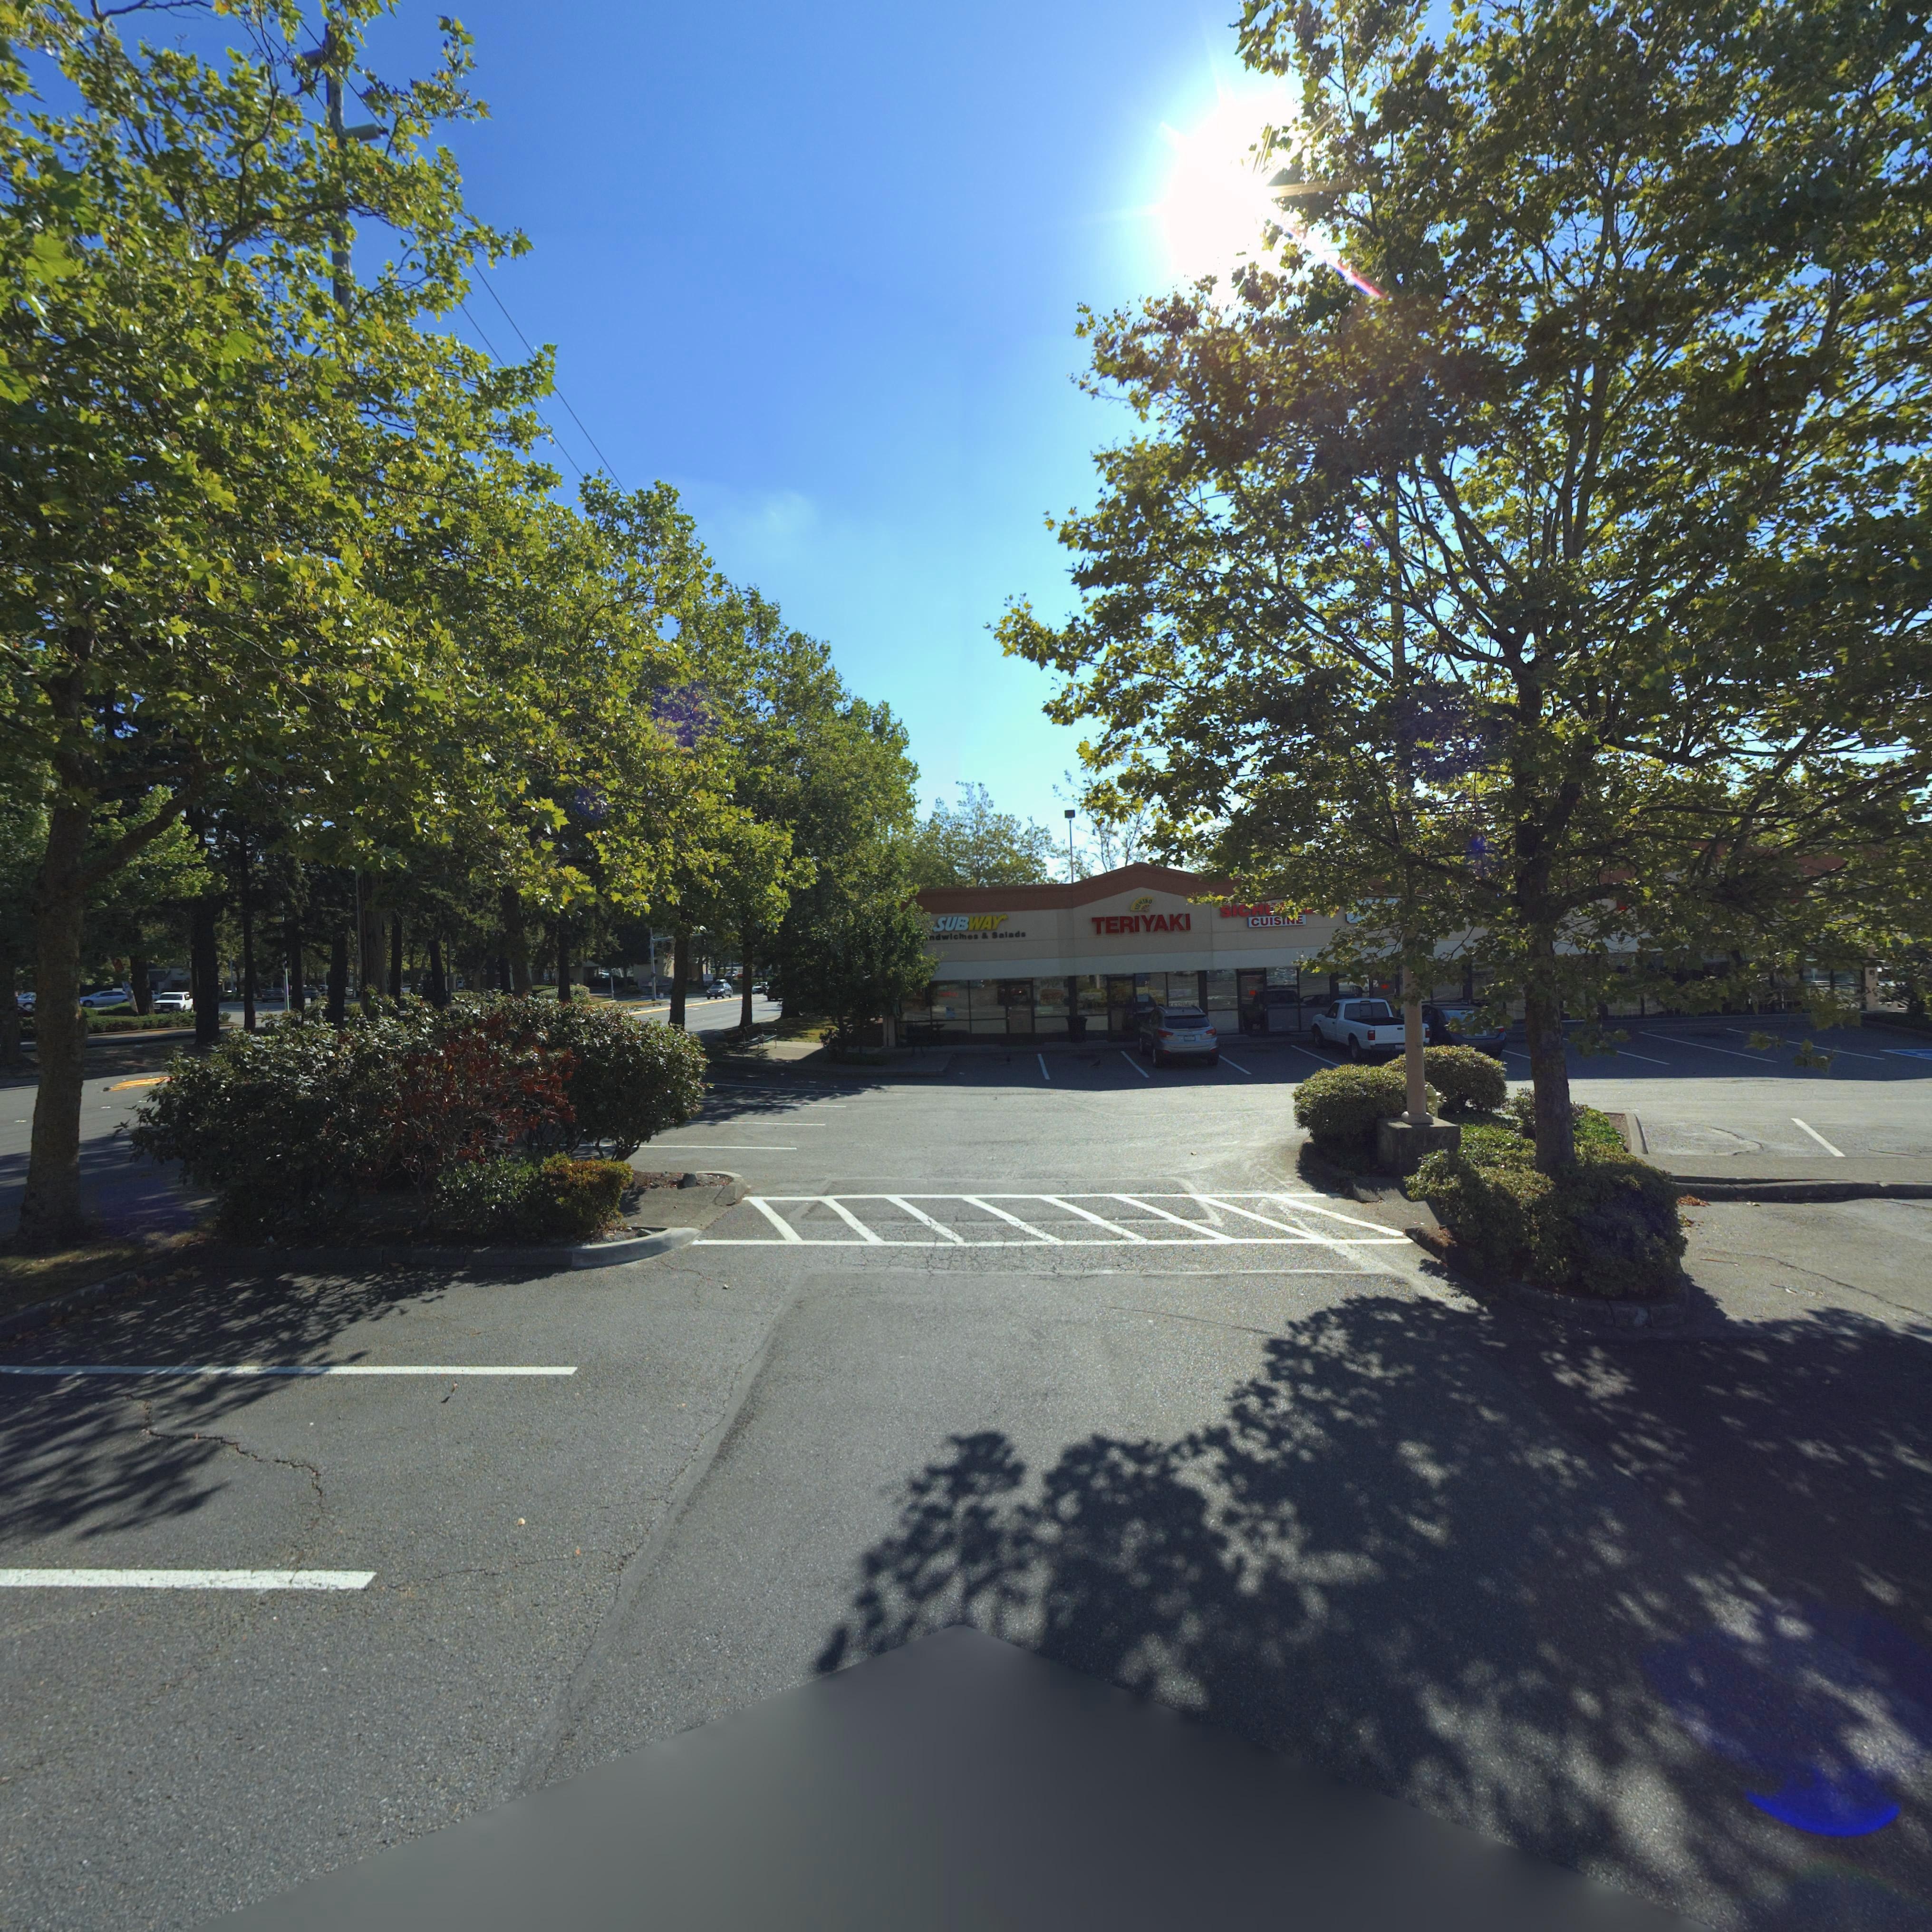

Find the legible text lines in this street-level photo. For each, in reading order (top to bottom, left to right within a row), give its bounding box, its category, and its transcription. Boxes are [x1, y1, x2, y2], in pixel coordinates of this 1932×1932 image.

[1134, 898, 1152, 909] BusinessName: YUMIKO
[1219, 902, 1278, 917] BusinessName: SICH*
[934, 915, 1009, 931] BusinessName: SUBWAY
[1090, 912, 1191, 936] BusinessName: TERIYAKI
[1251, 916, 1304, 927] BusinessName: CUISINE